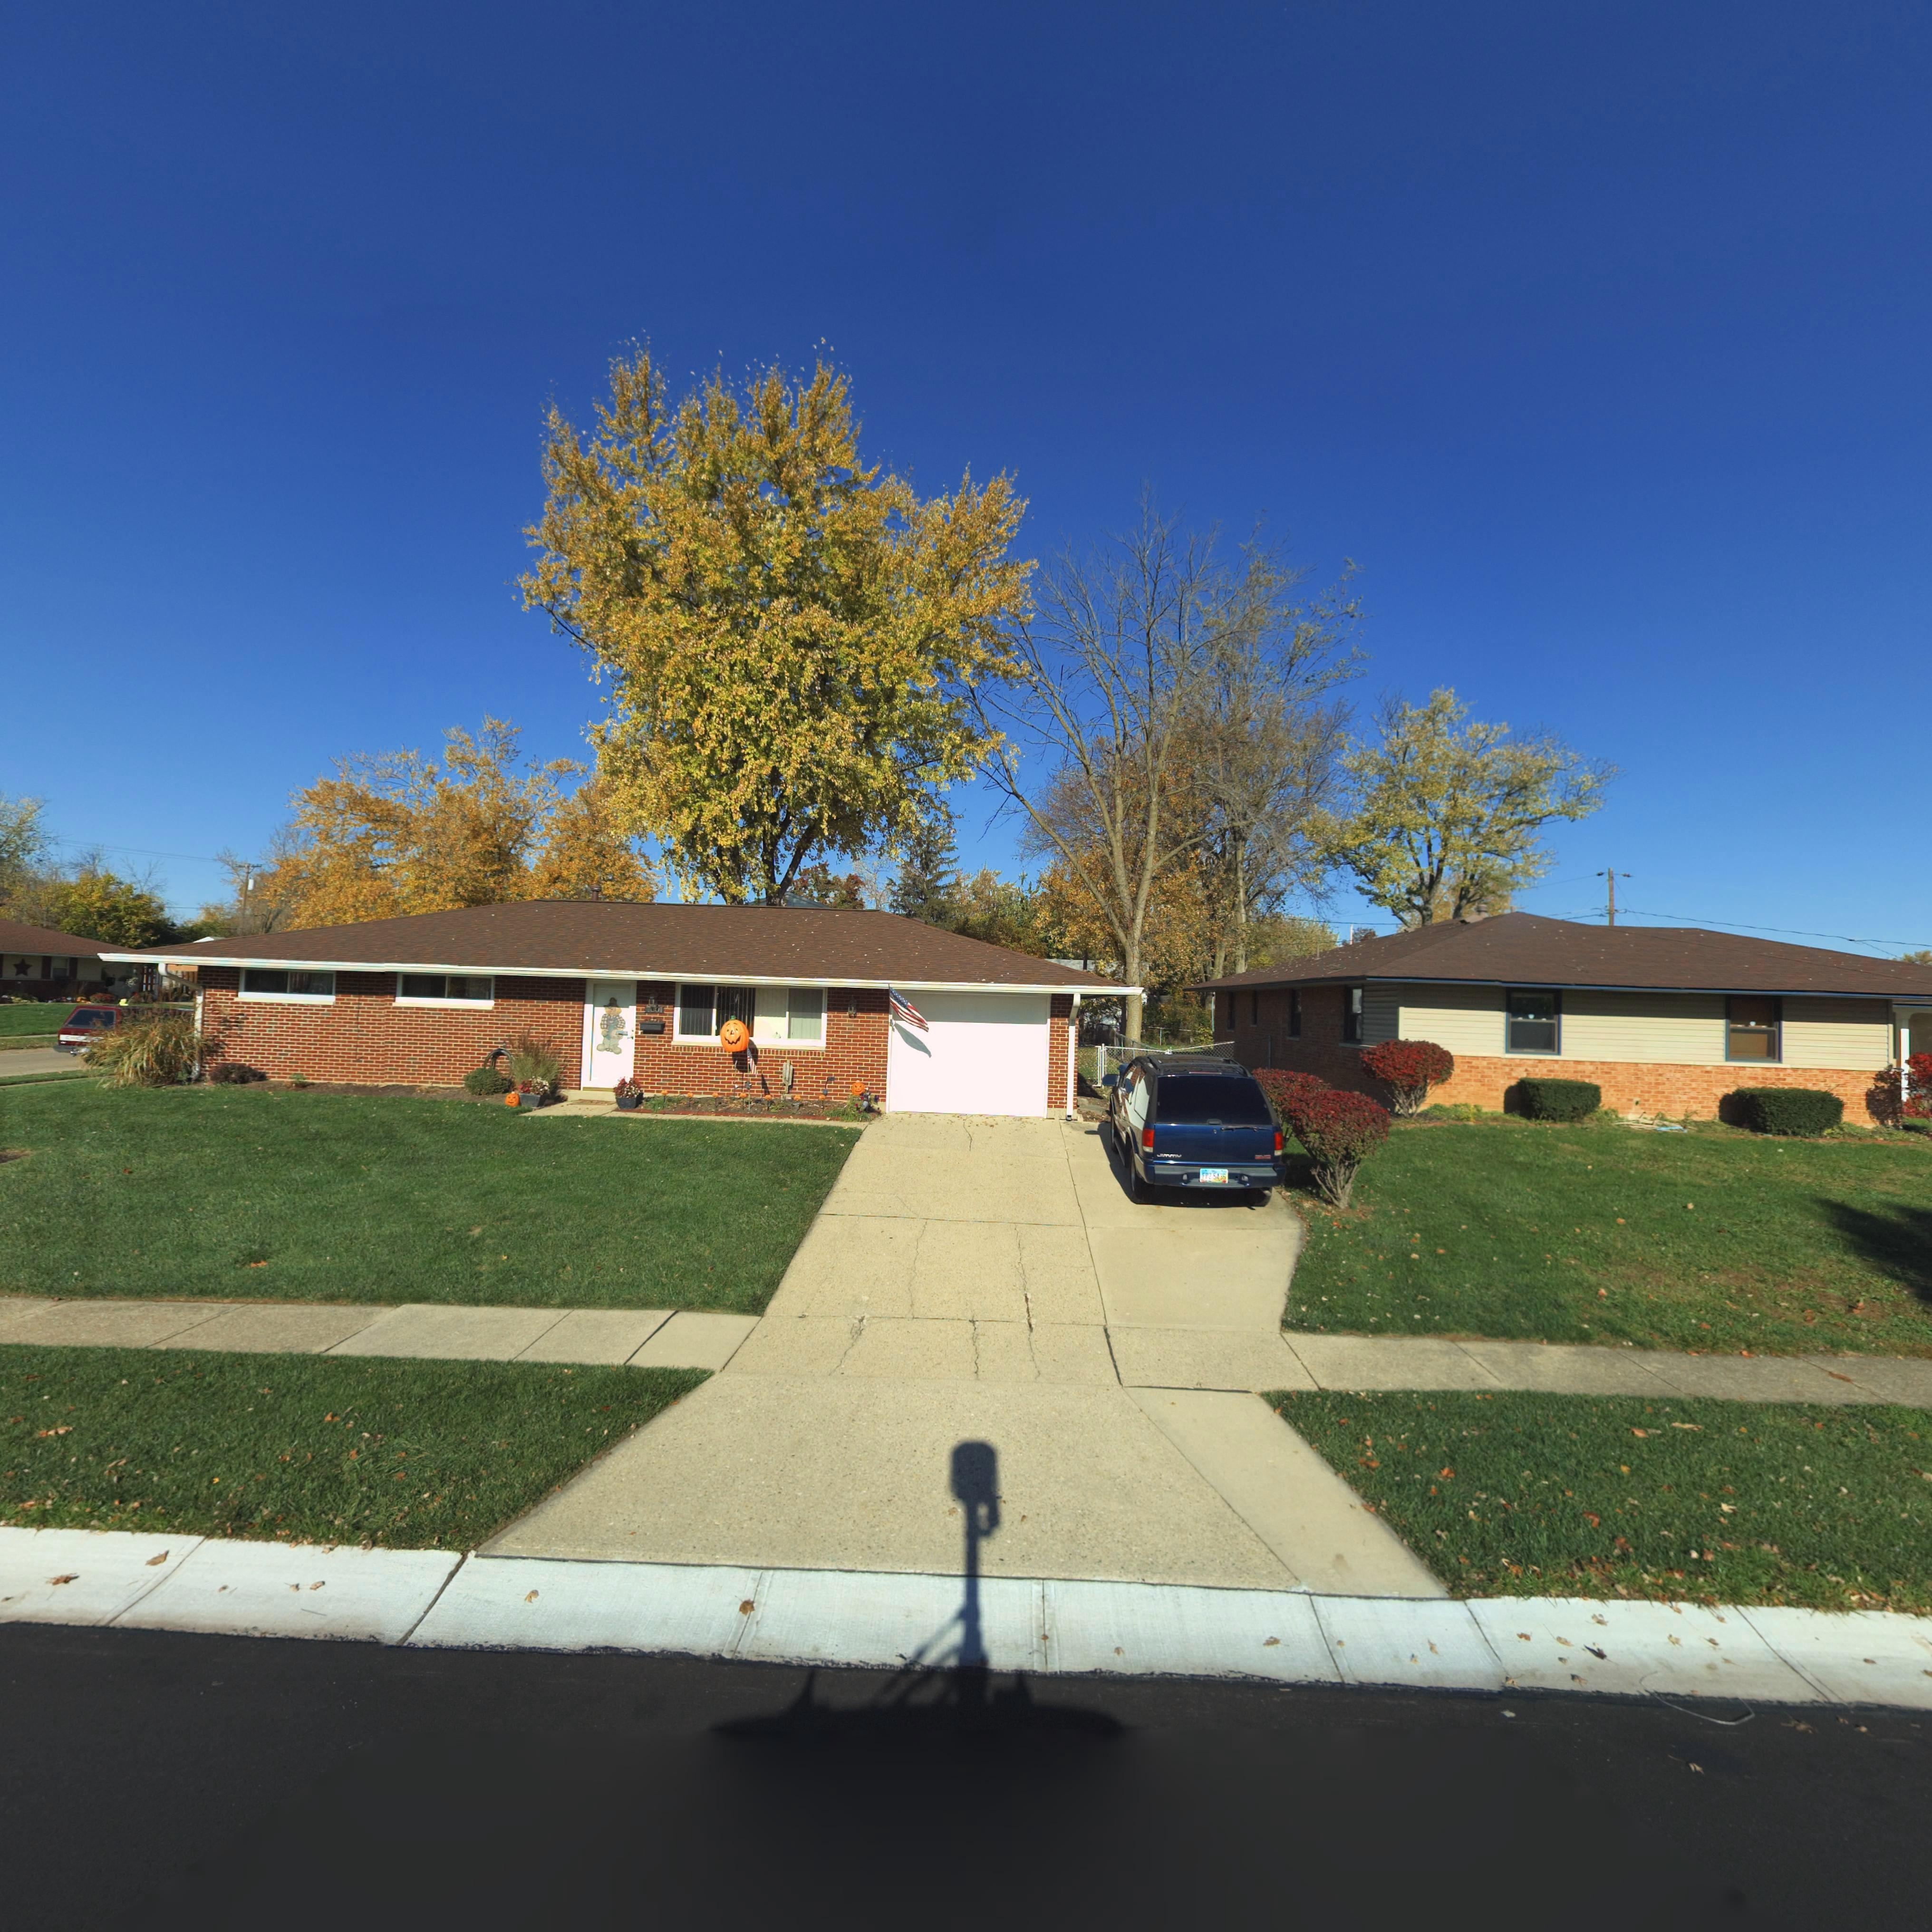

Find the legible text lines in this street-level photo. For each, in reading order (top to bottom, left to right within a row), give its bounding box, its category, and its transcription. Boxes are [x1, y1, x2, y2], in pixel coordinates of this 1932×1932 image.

[646, 1005, 664, 1014] StreetNumber: 7*01